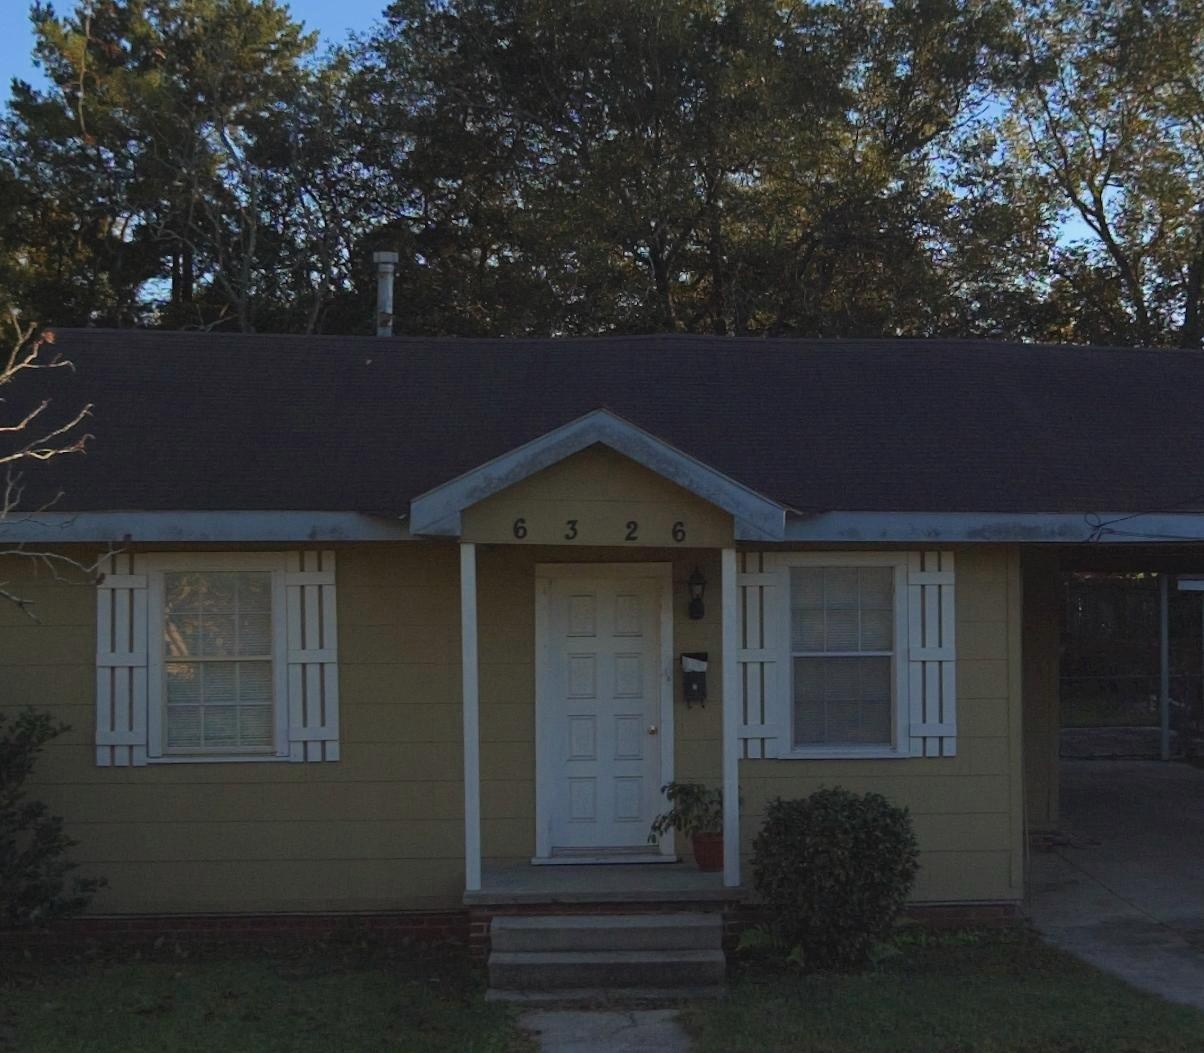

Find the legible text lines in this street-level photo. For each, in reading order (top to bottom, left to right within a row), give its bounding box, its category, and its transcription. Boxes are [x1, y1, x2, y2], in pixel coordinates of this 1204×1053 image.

[511, 518, 688, 543] StreetNumber: 6326